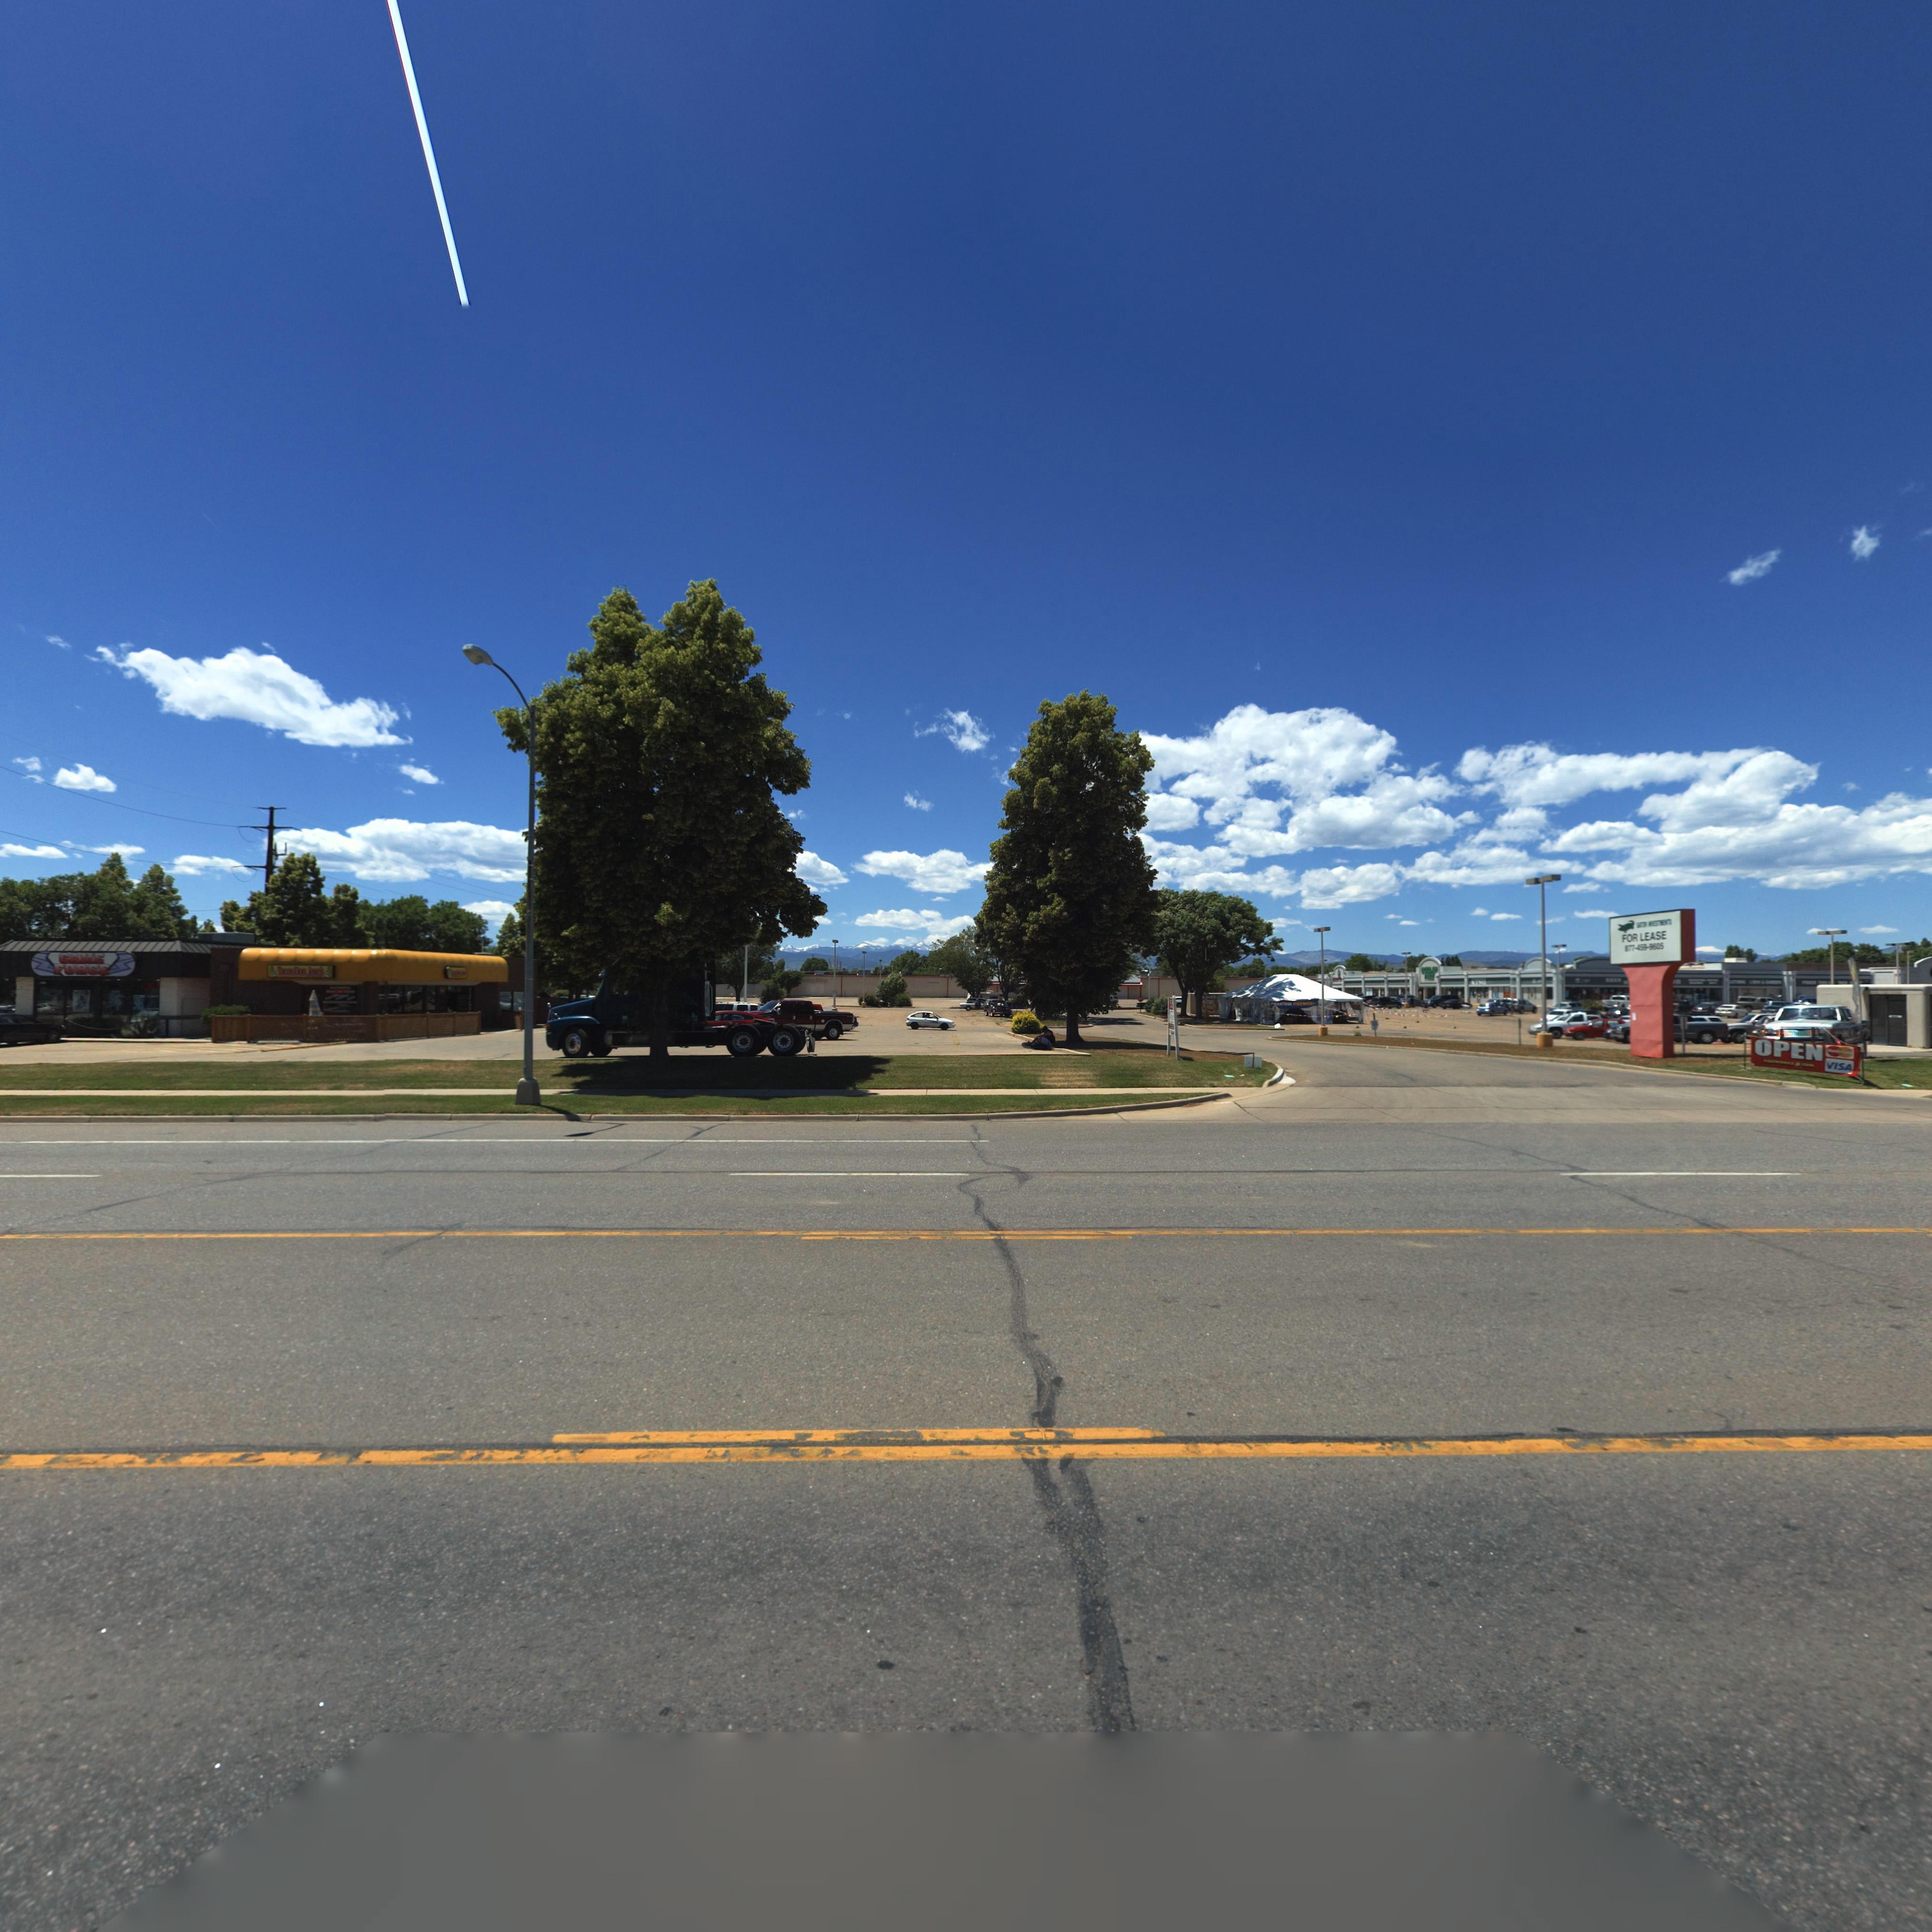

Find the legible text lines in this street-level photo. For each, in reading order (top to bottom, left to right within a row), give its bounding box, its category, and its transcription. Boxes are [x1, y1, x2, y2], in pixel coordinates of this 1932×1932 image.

[58, 952, 105, 964] BusinessName: GAME
[53, 963, 110, 975] BusinessName: FORCE
[276, 966, 324, 976] BusinessName: T***TD** **
[1423, 973, 1434, 979] BusinessName: TREE
[1421, 966, 1437, 972] BusinessName: DOLLAR